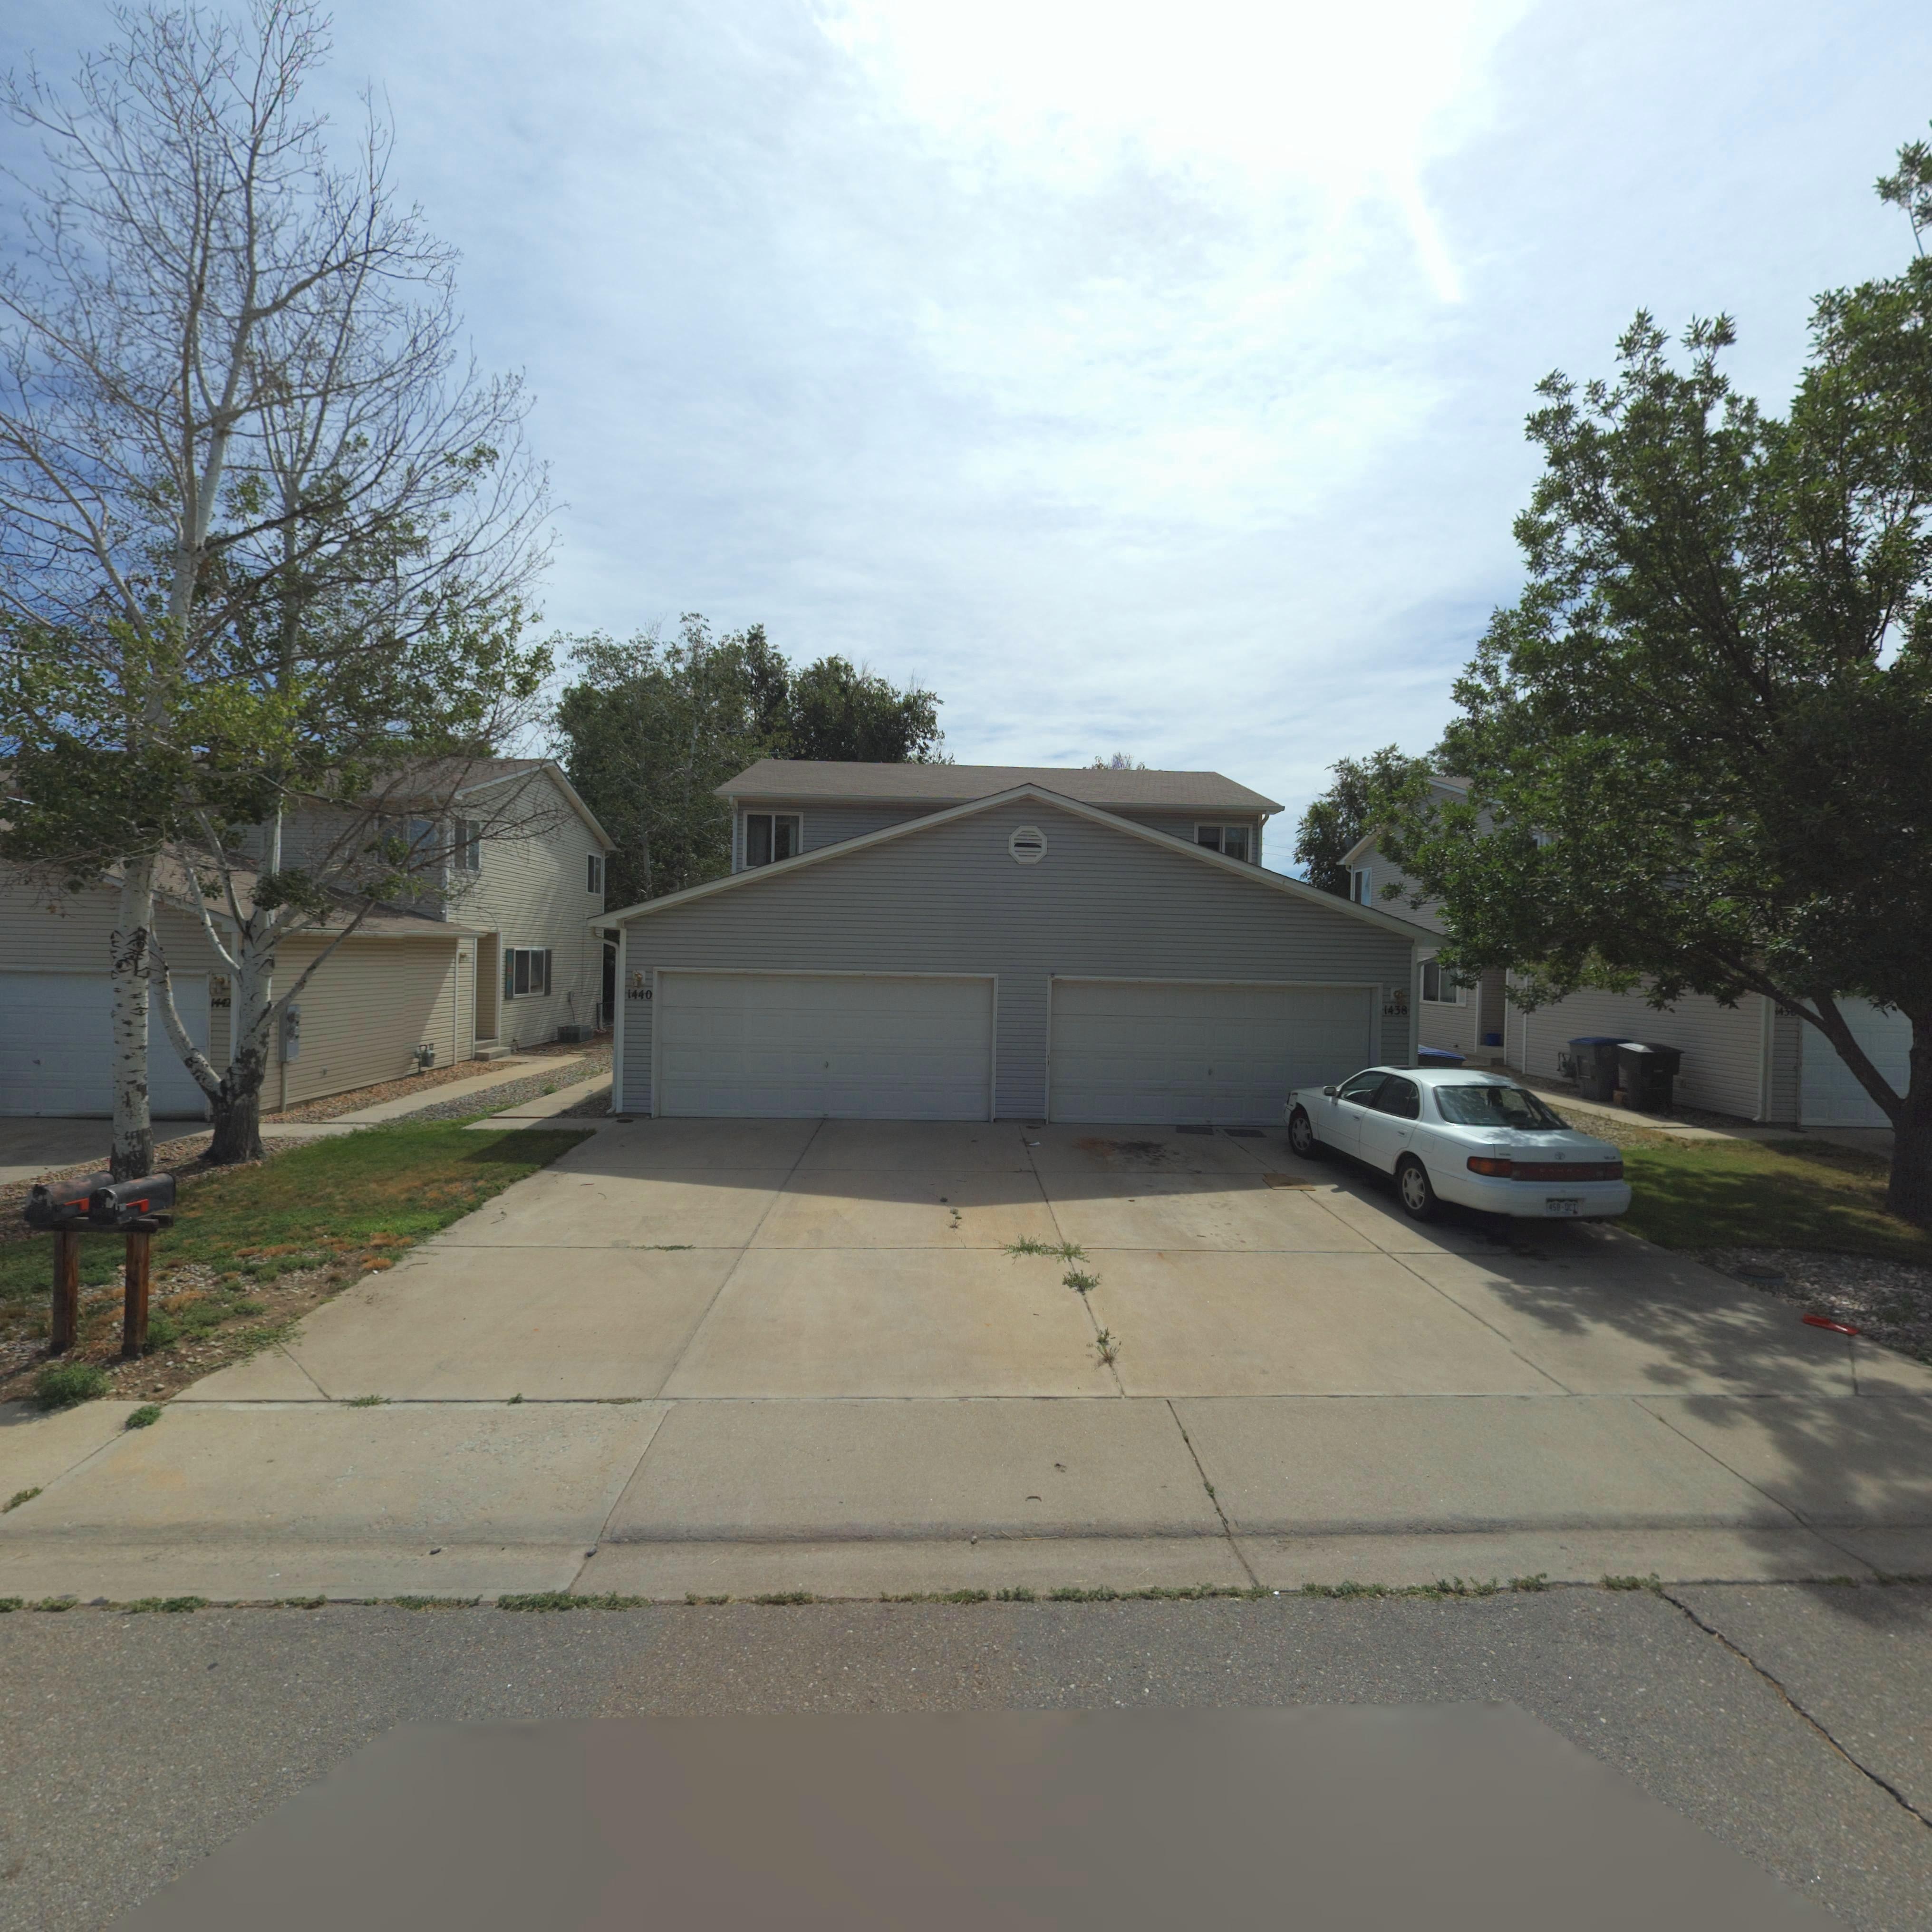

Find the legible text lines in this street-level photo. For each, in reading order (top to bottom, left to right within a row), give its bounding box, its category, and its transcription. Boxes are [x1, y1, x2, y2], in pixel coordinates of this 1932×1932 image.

[628, 988, 653, 1000] StreetNumber: 1440
[209, 997, 231, 1008] StreetNumber: 1442
[1384, 1005, 1408, 1014] StreetNumber: 1438